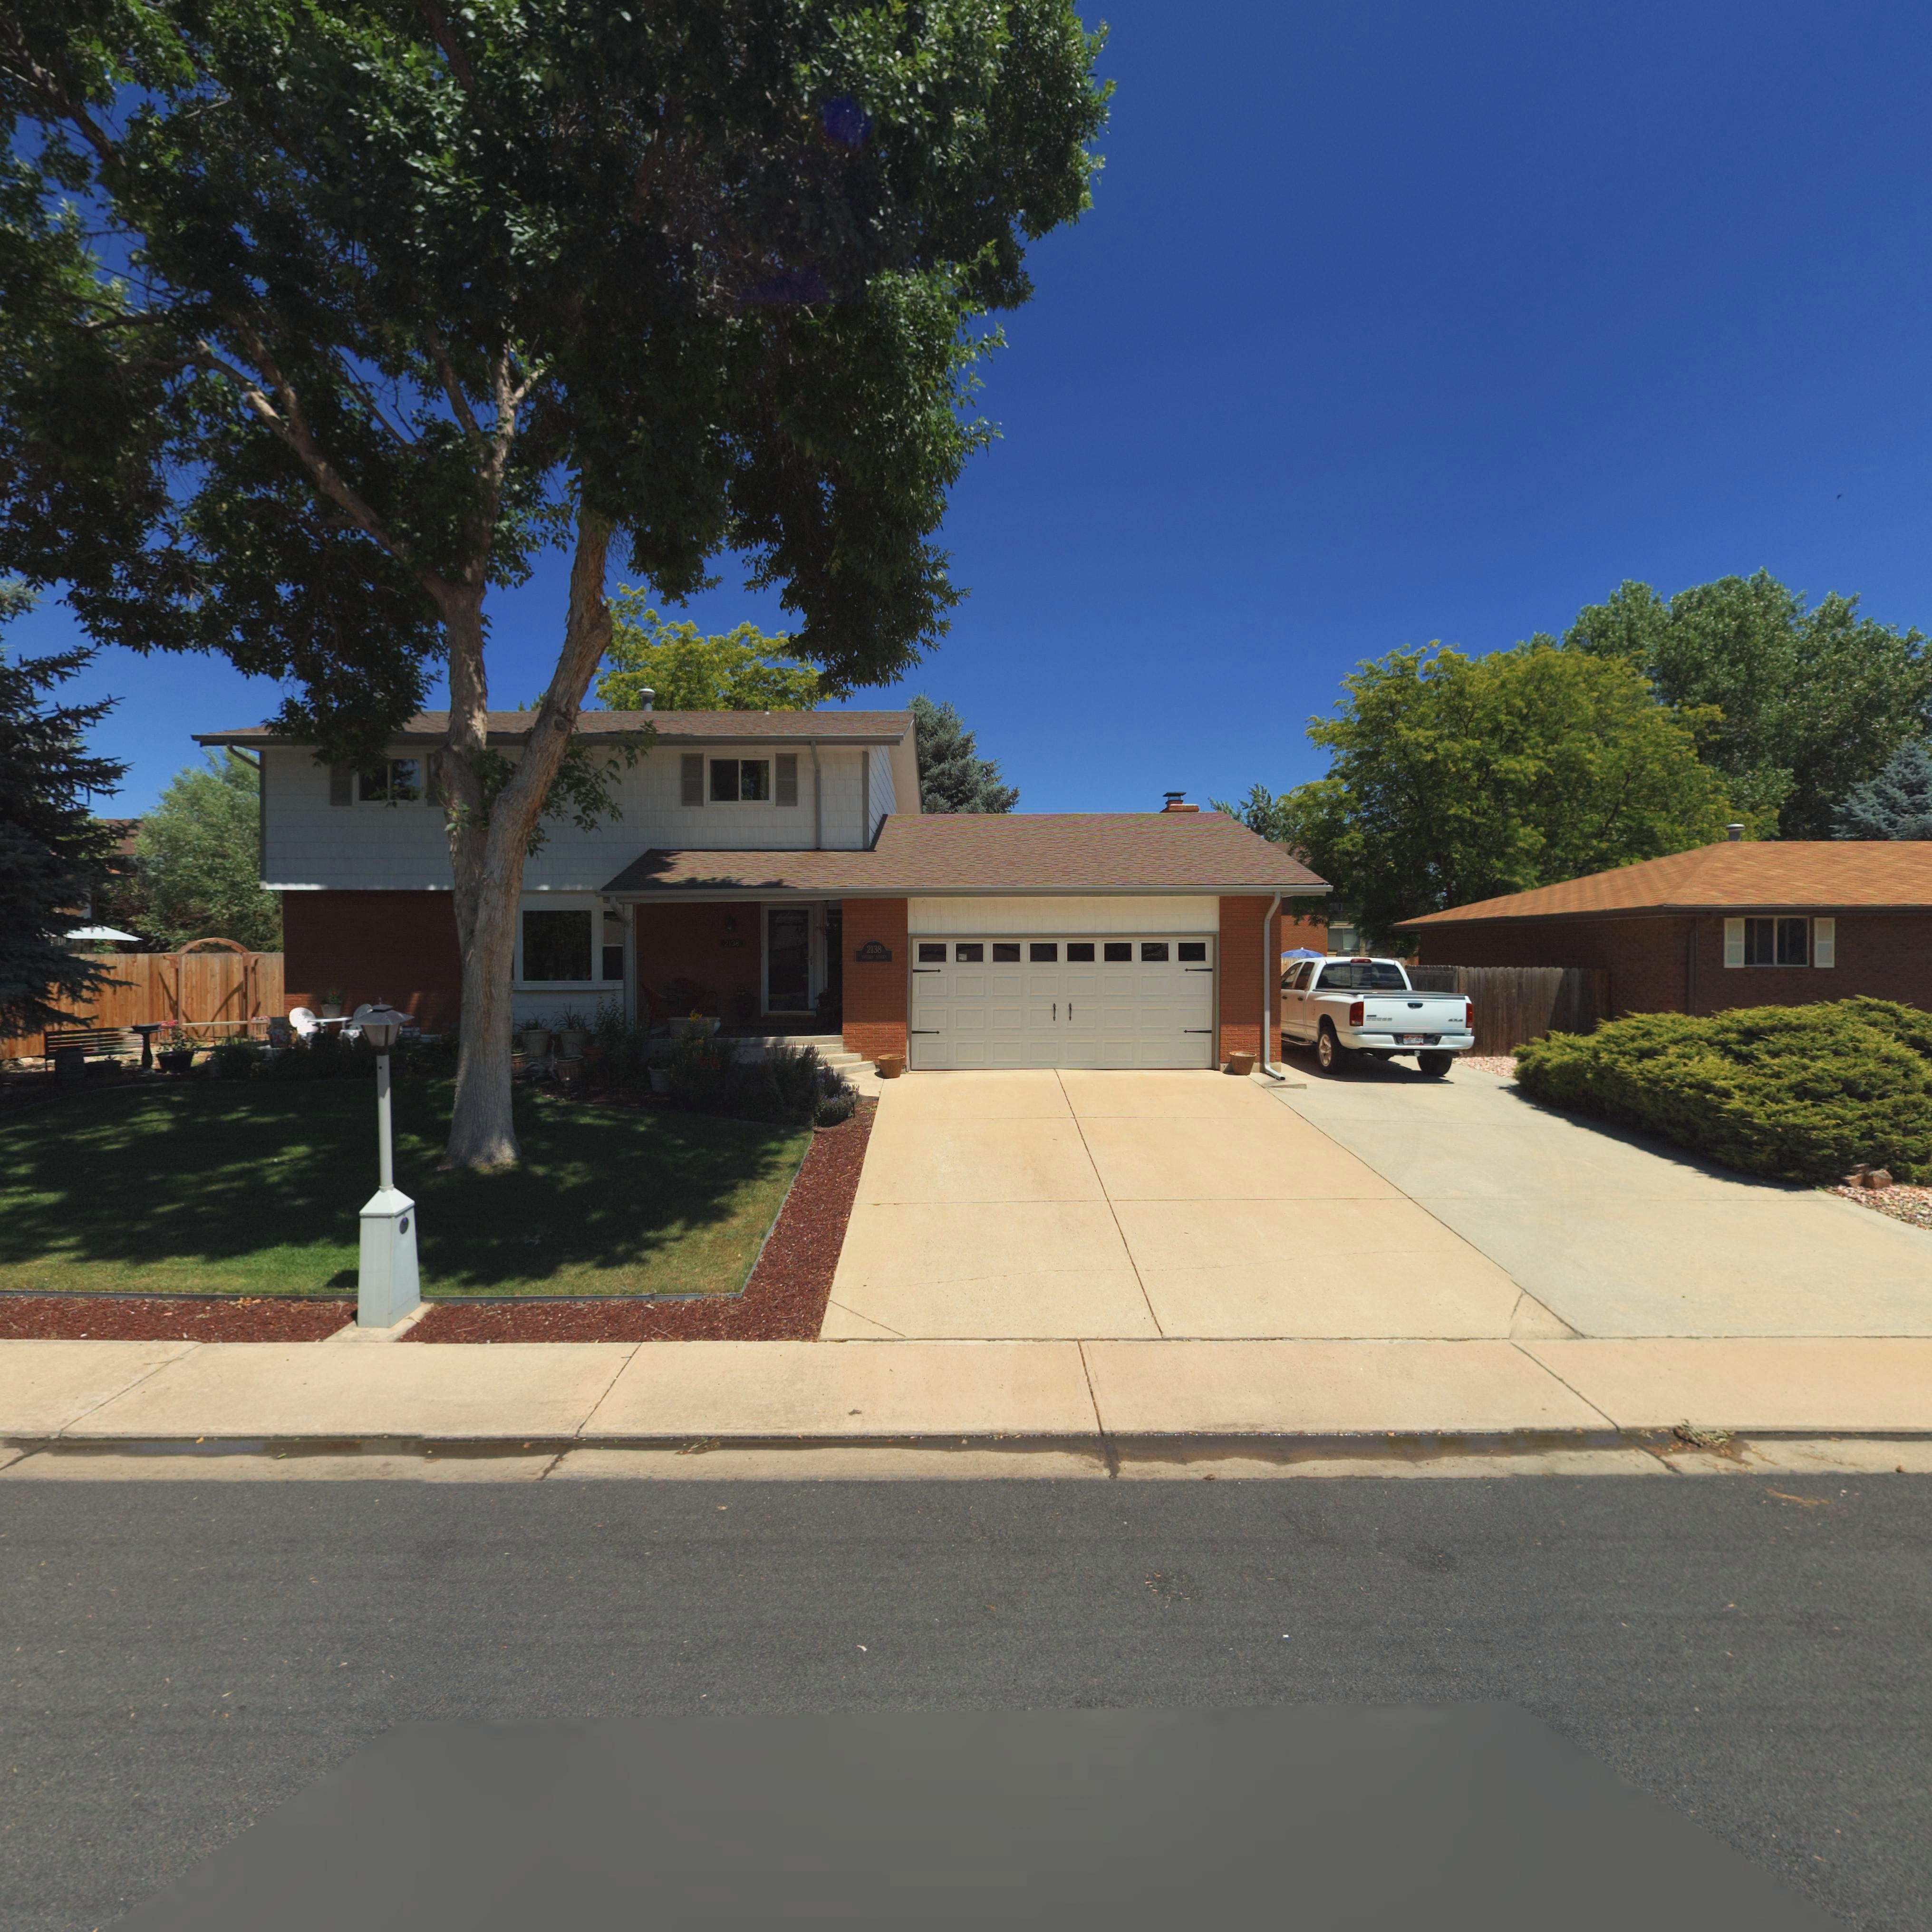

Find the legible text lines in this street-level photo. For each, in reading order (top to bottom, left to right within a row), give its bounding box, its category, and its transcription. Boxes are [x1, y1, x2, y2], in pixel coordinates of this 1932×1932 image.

[724, 939, 740, 947] StreetNumber: 2138
[866, 945, 882, 953] StreetNumber: 2138